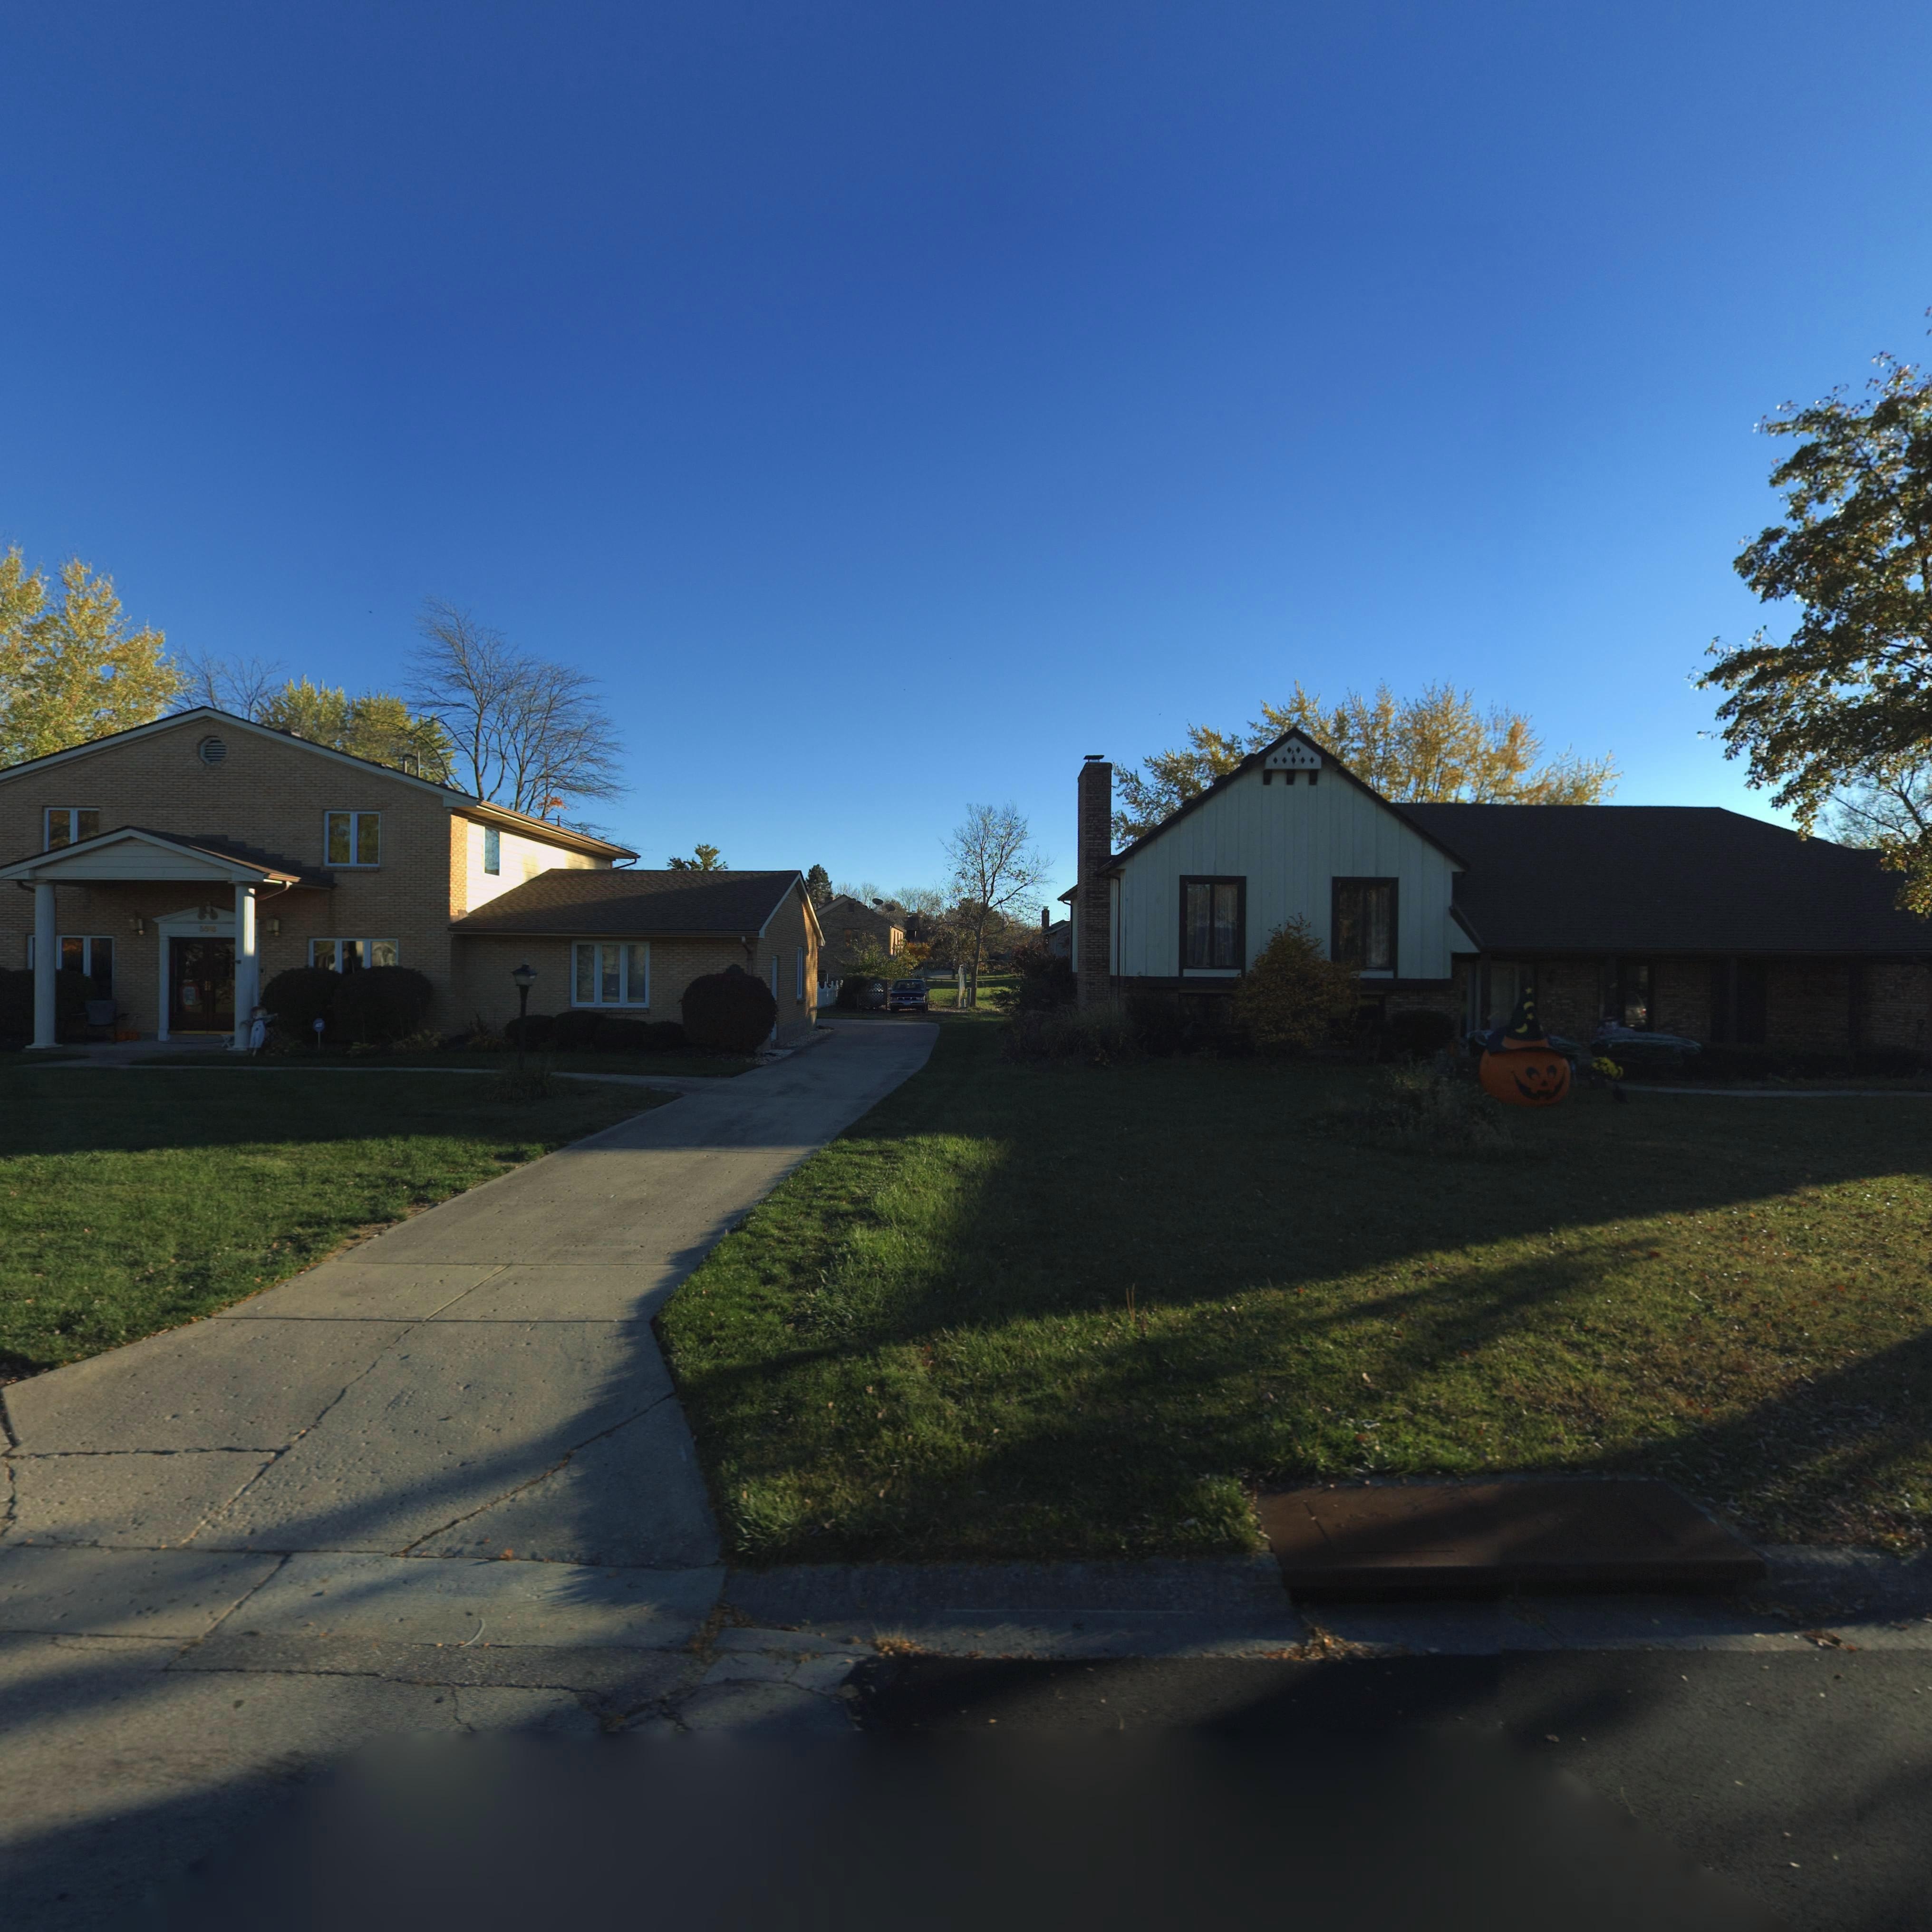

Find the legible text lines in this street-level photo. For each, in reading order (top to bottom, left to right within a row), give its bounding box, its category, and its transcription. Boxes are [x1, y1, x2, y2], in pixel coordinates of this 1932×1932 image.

[199, 925, 218, 933] StreetNumber: 55**